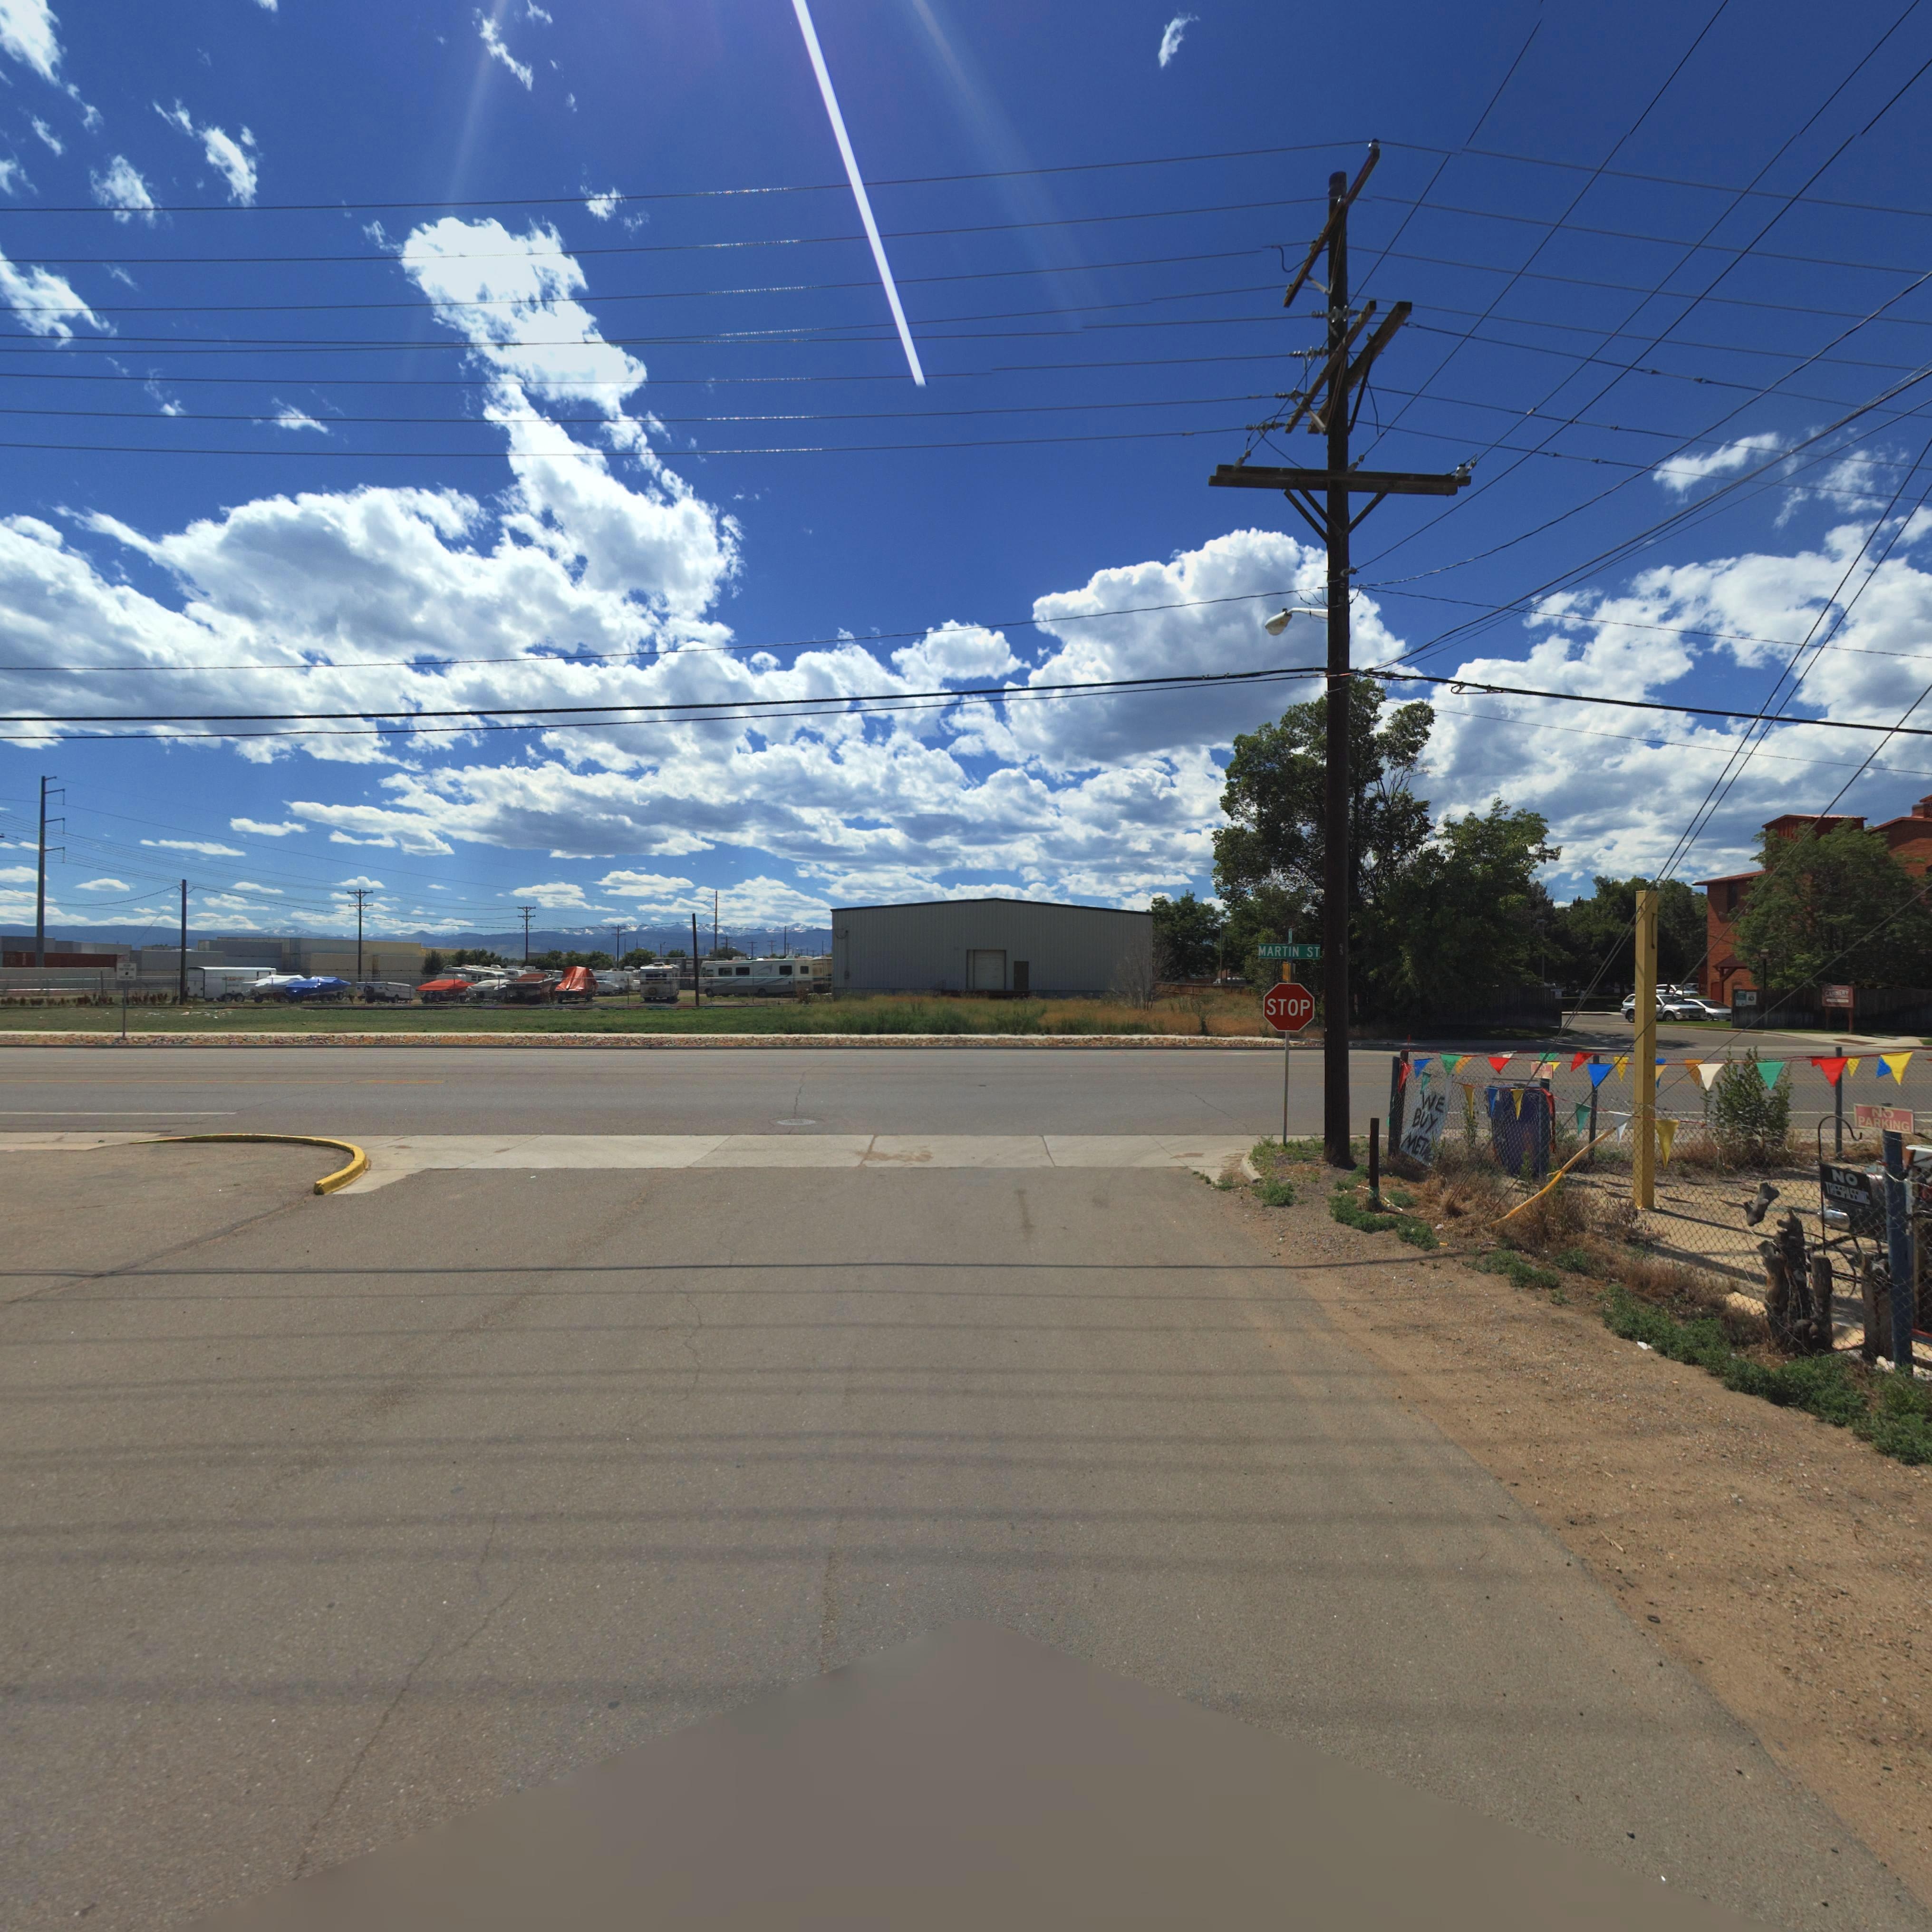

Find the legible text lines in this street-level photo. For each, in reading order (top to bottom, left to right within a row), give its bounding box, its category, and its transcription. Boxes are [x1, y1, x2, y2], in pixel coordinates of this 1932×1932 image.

[1258, 946, 1320, 957] StreetName: MARTIN ST